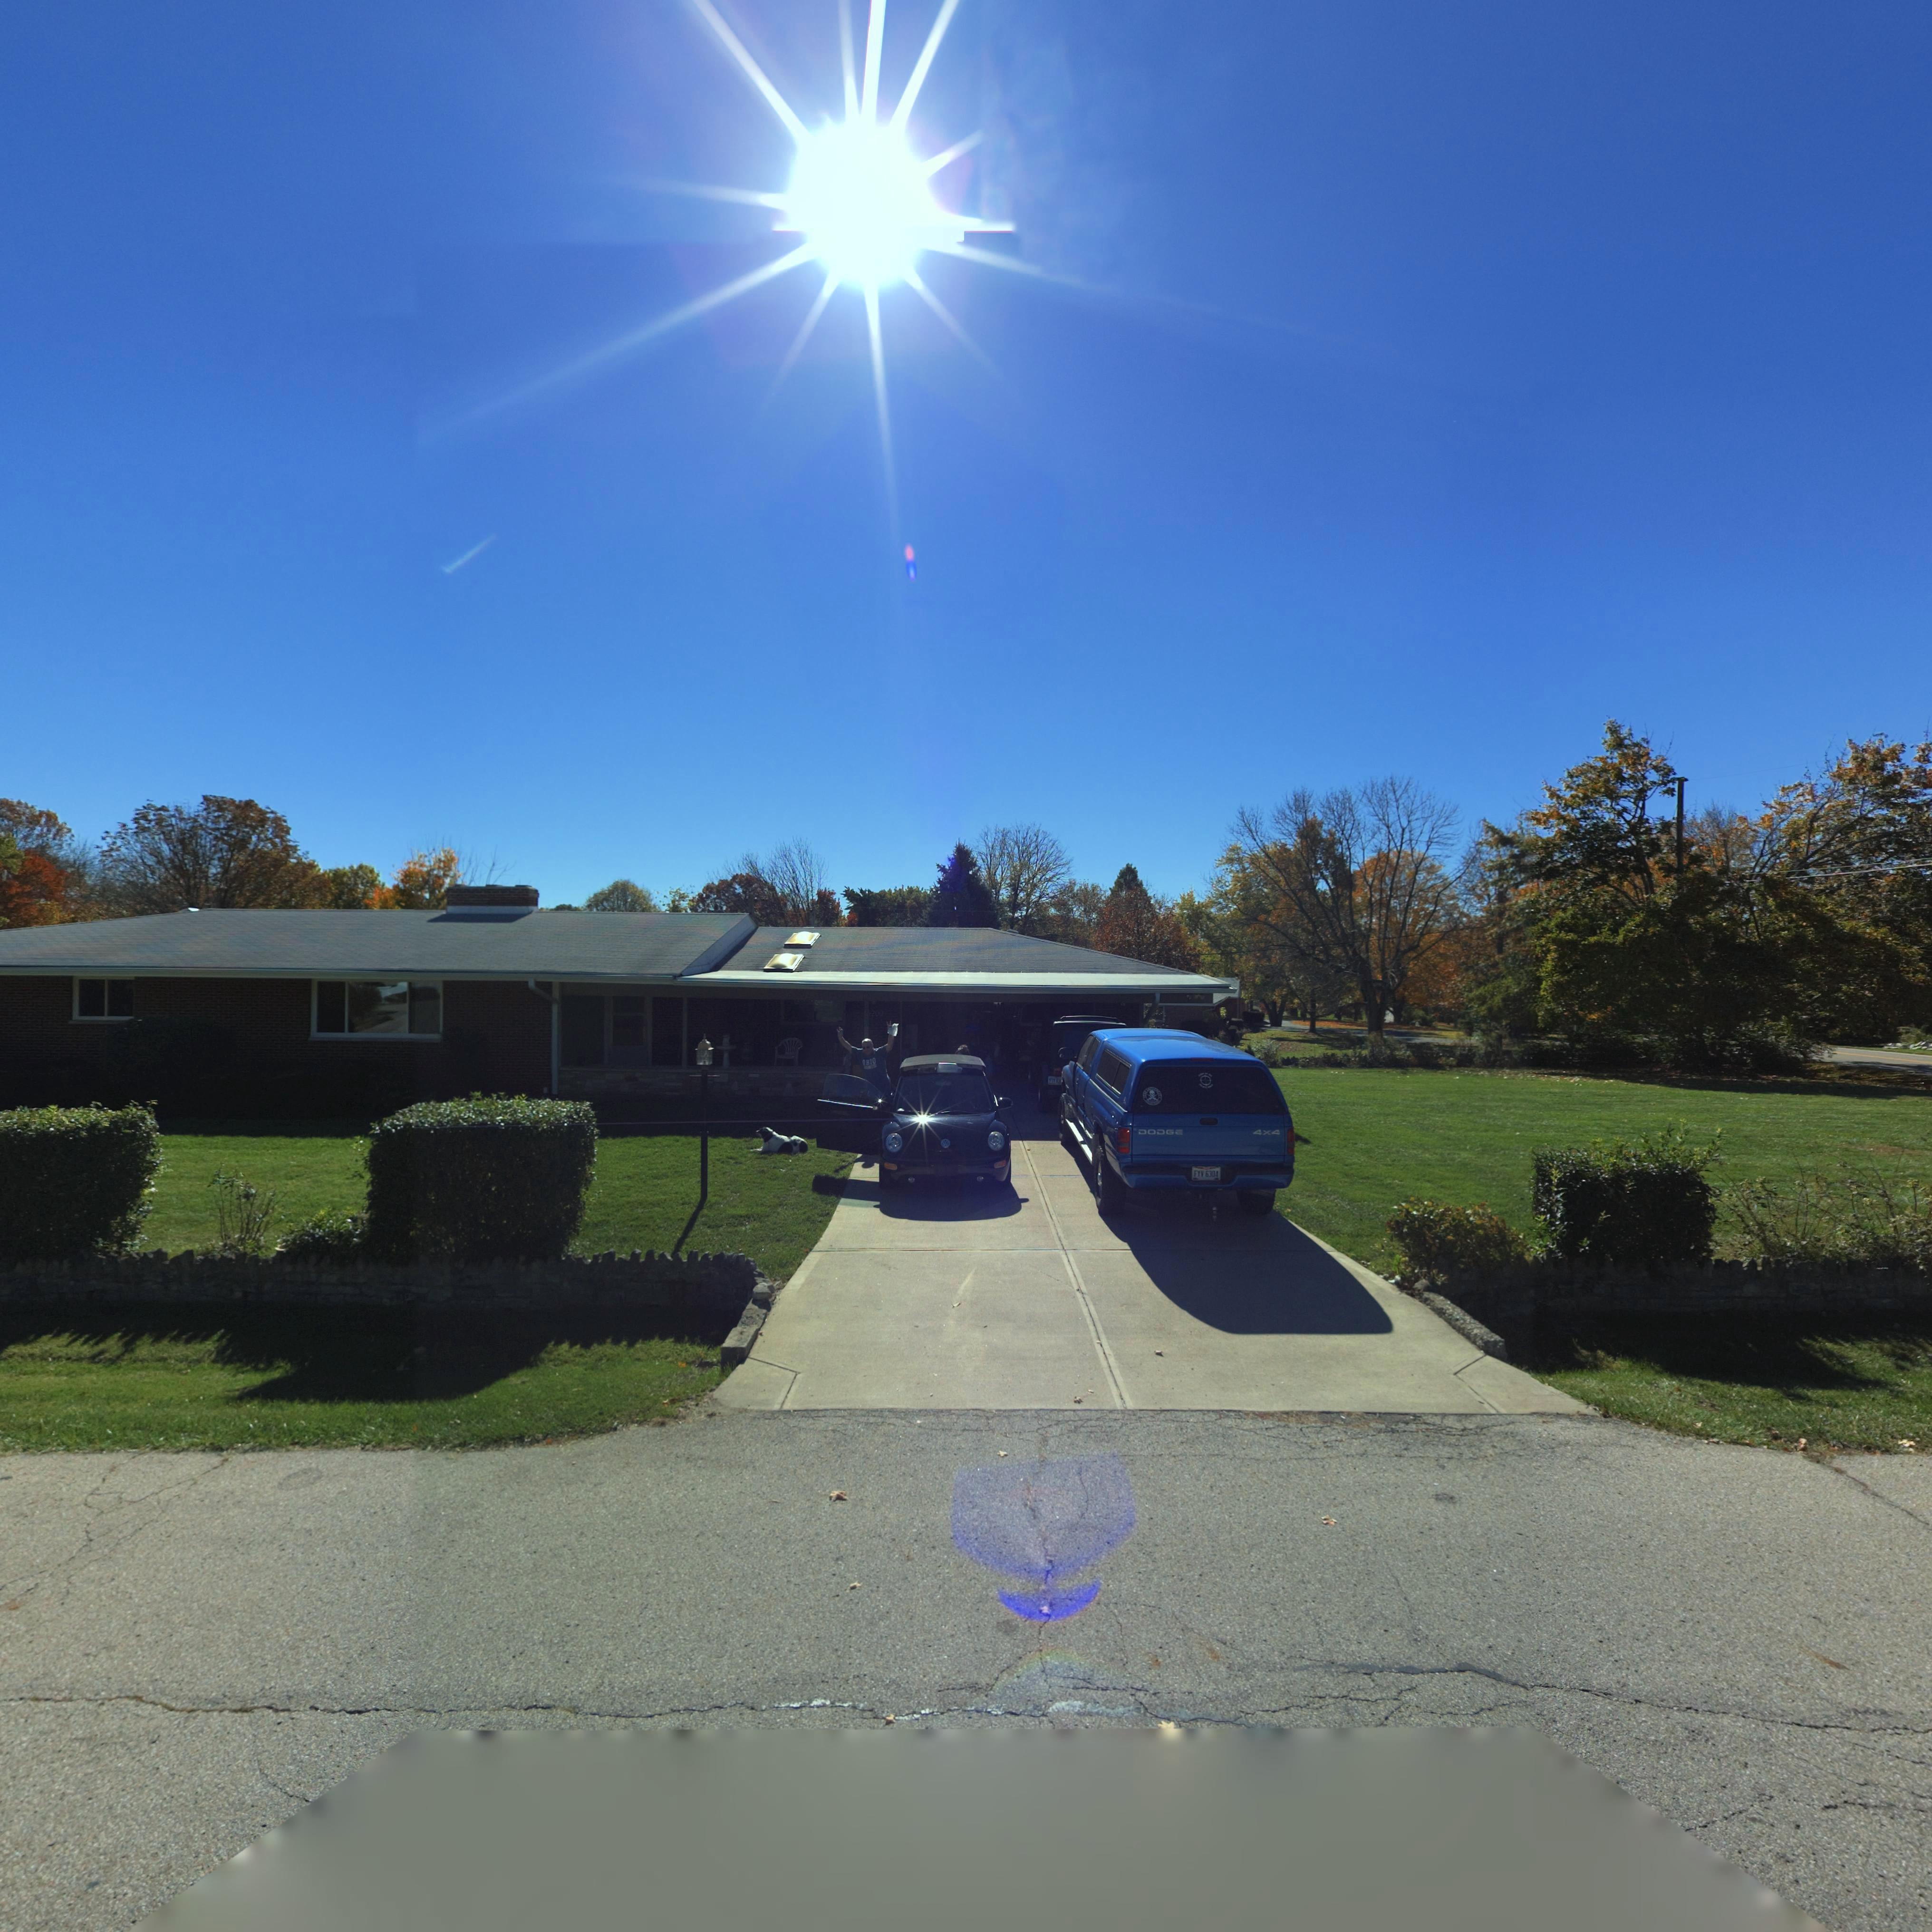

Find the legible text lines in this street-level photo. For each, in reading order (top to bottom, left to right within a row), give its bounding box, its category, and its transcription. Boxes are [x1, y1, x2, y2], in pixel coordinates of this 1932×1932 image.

[870, 1009, 884, 1018] StreetNumber: 200